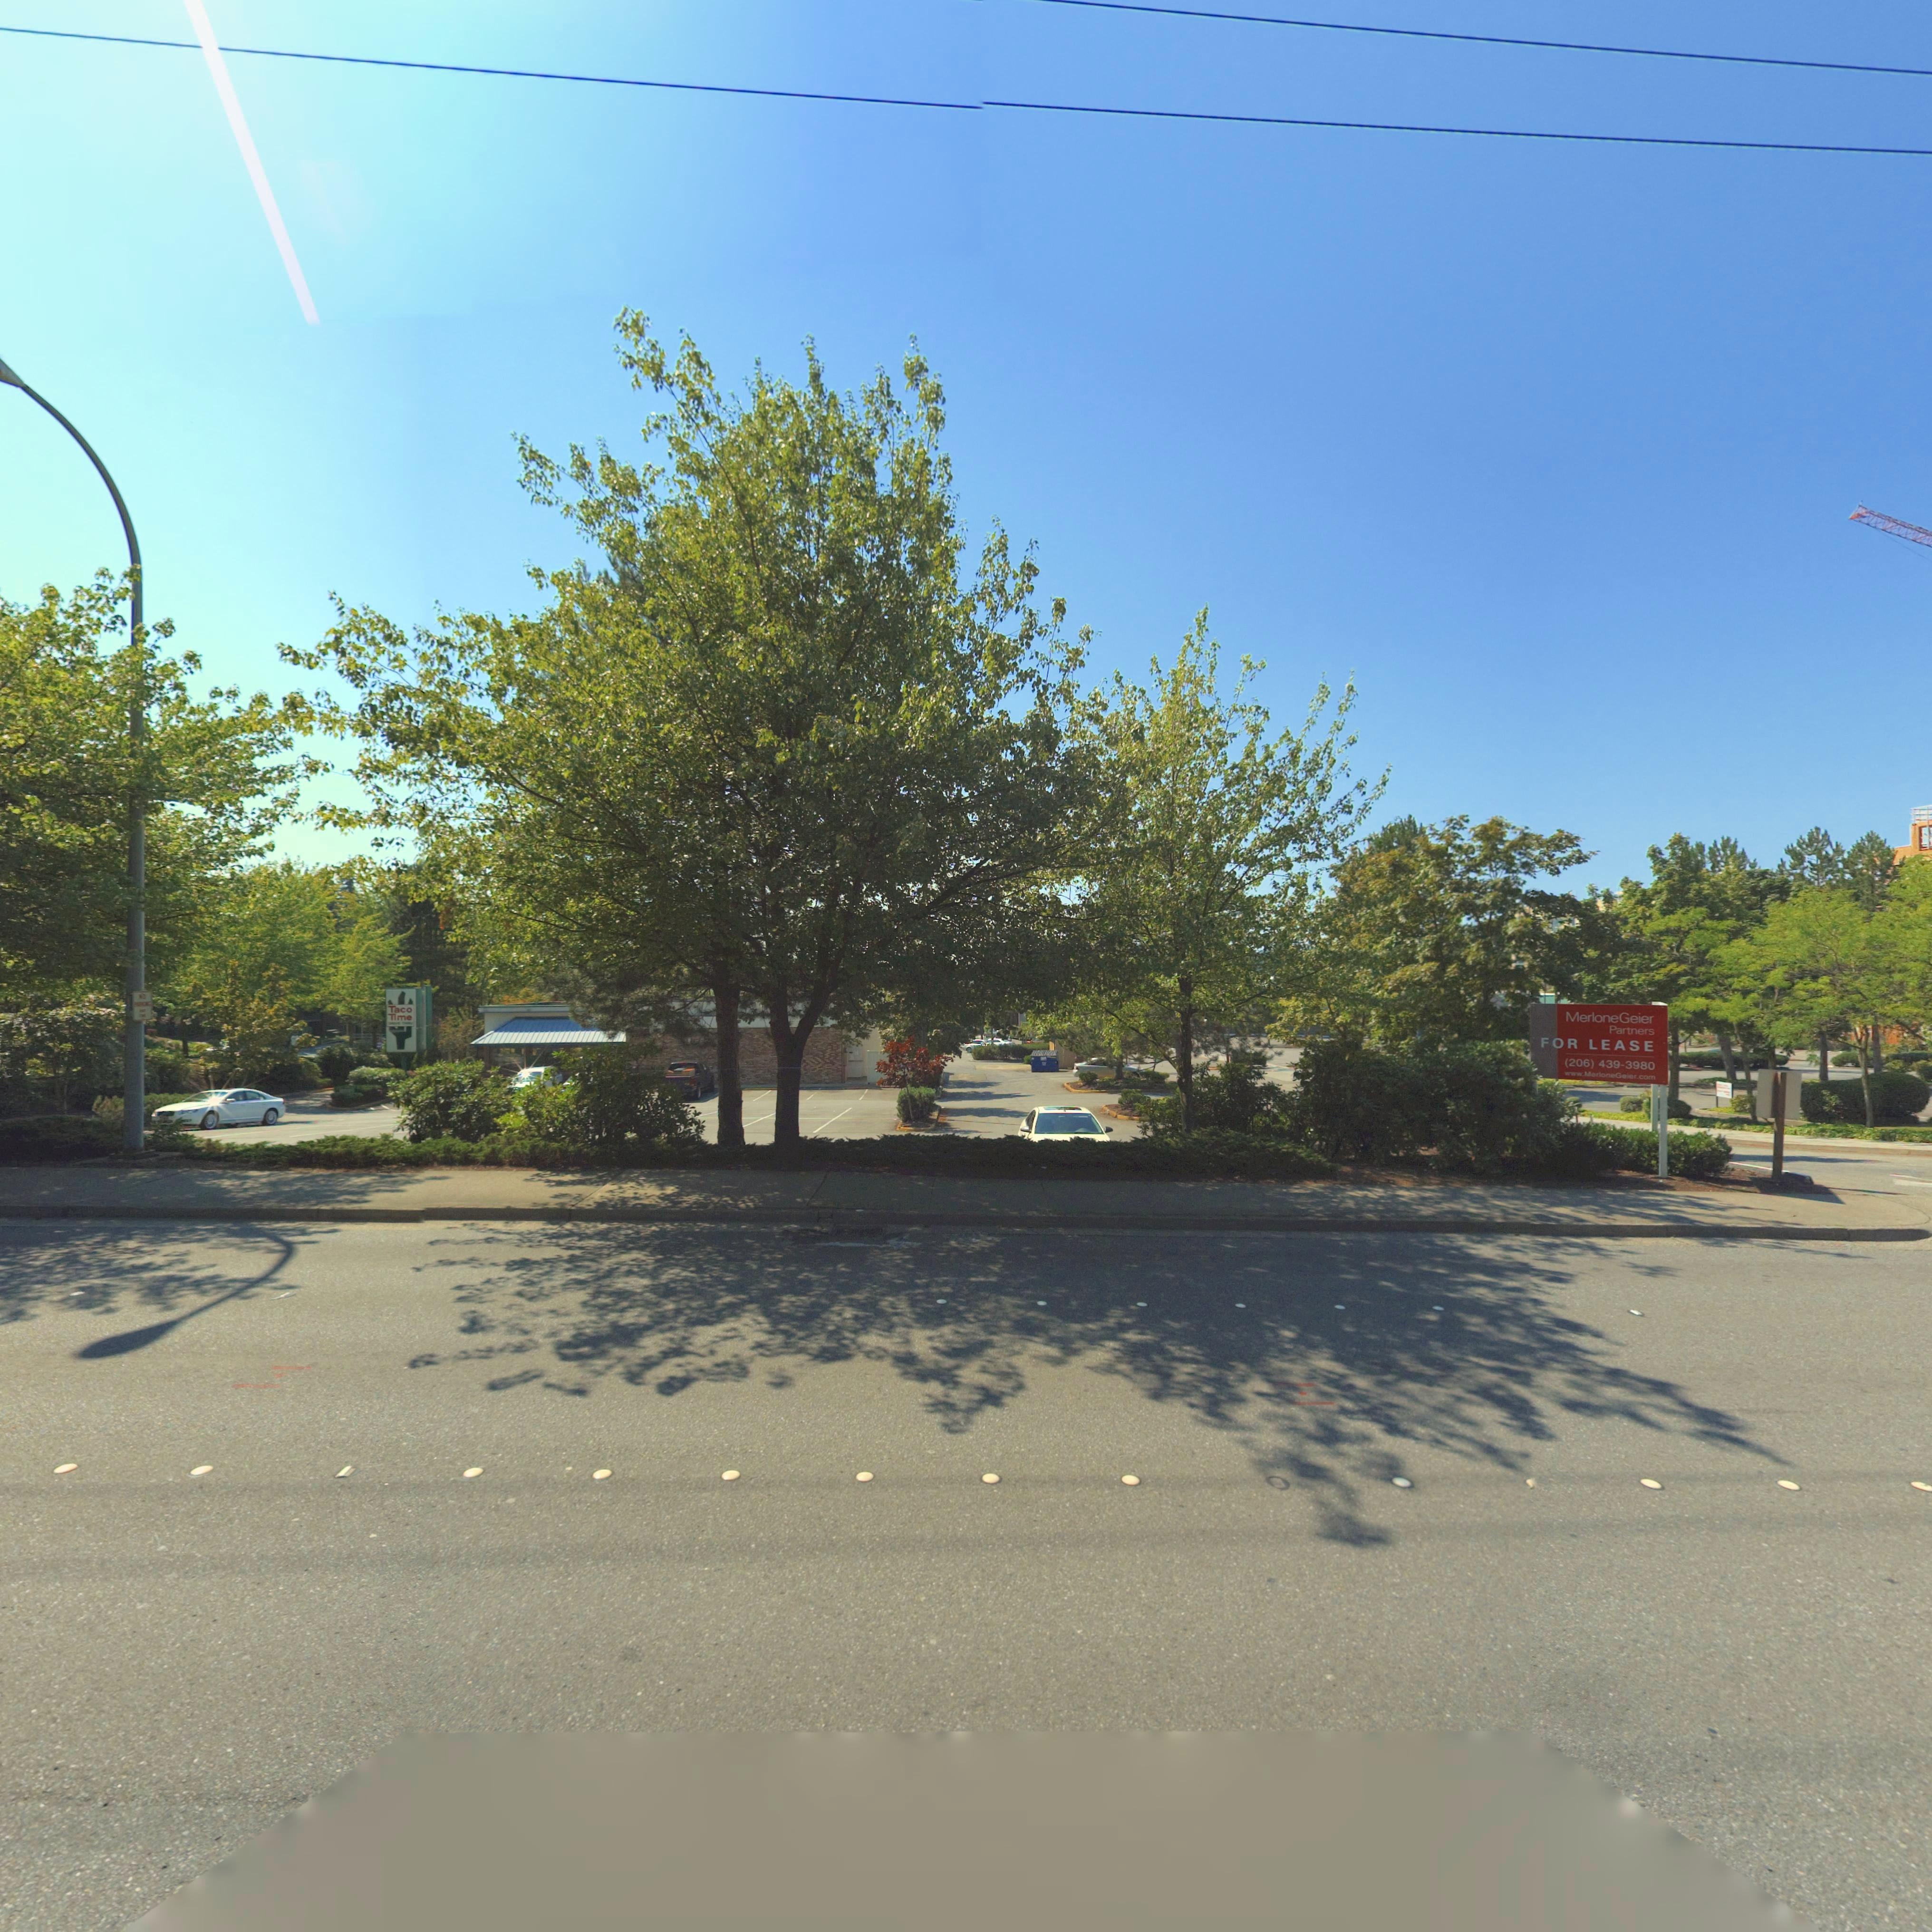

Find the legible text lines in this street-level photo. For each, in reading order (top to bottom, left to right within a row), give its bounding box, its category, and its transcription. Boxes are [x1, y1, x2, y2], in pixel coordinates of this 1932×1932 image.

[387, 1006, 413, 1013] BusinessName: Taco
[387, 1013, 413, 1021] StreetNumber: Time